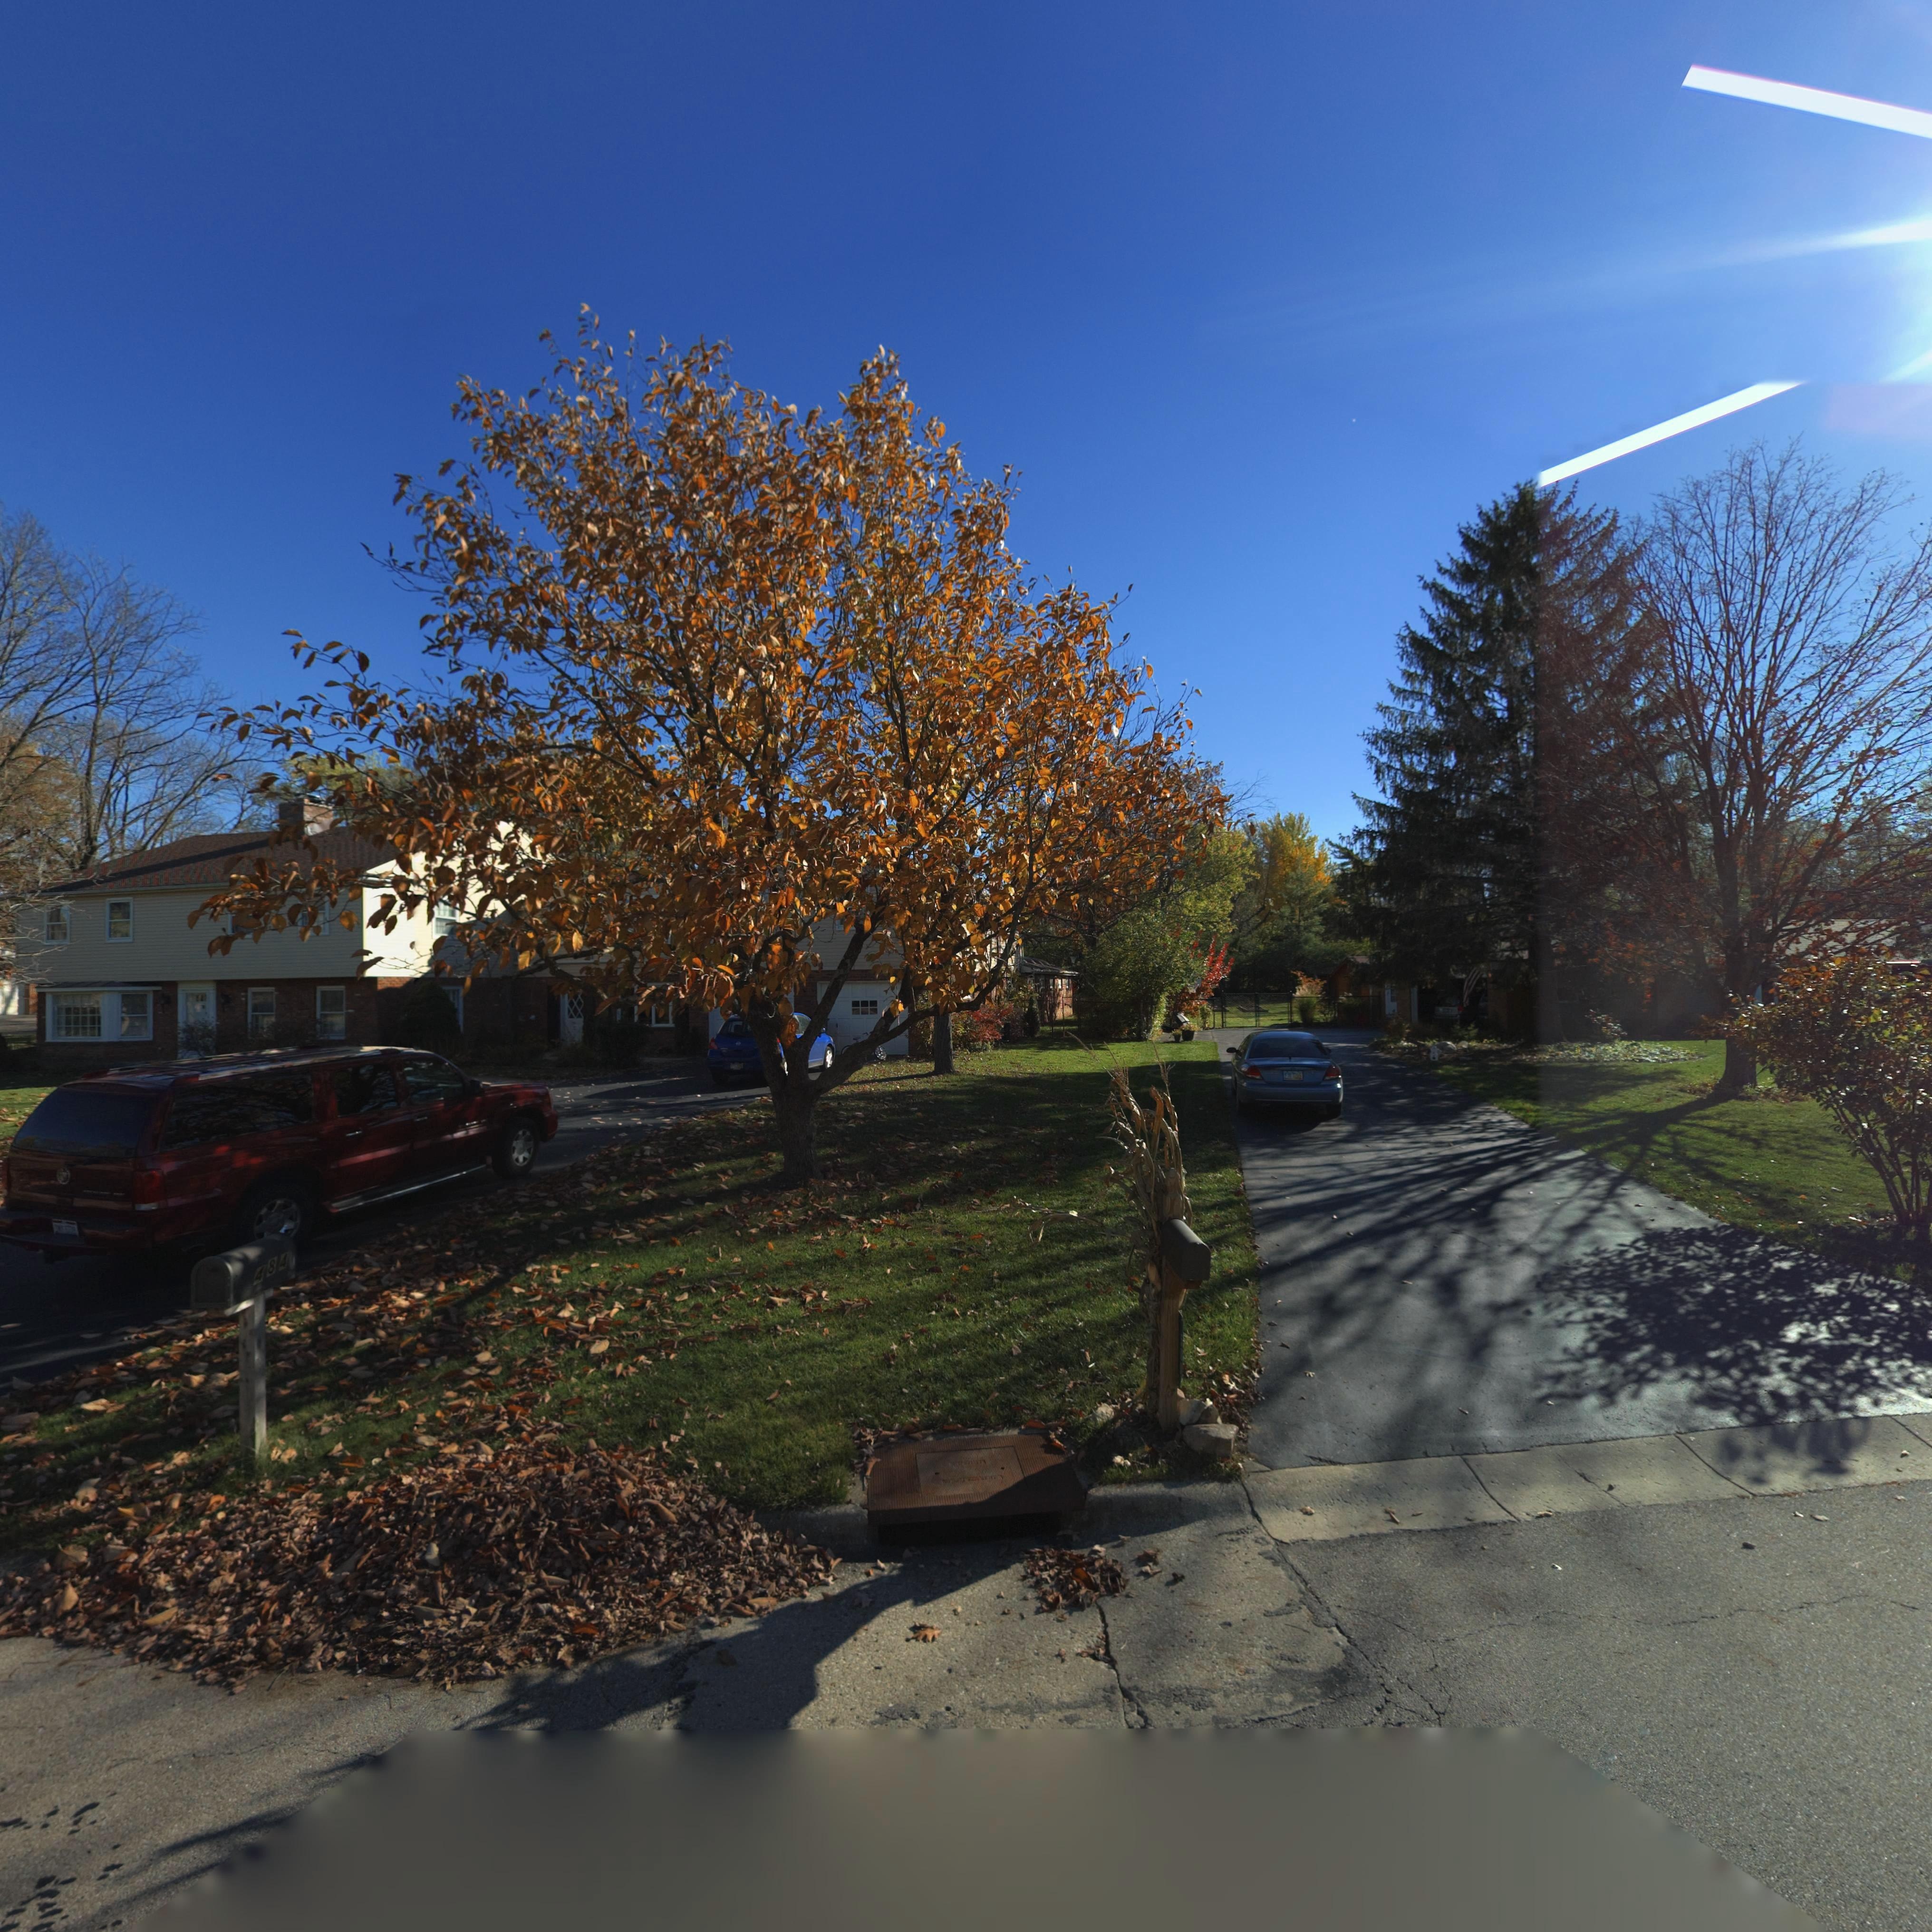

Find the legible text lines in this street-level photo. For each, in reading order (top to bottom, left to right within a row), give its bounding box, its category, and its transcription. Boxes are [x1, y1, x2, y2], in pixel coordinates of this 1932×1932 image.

[255, 1252, 289, 1284] StreetNumber: 484